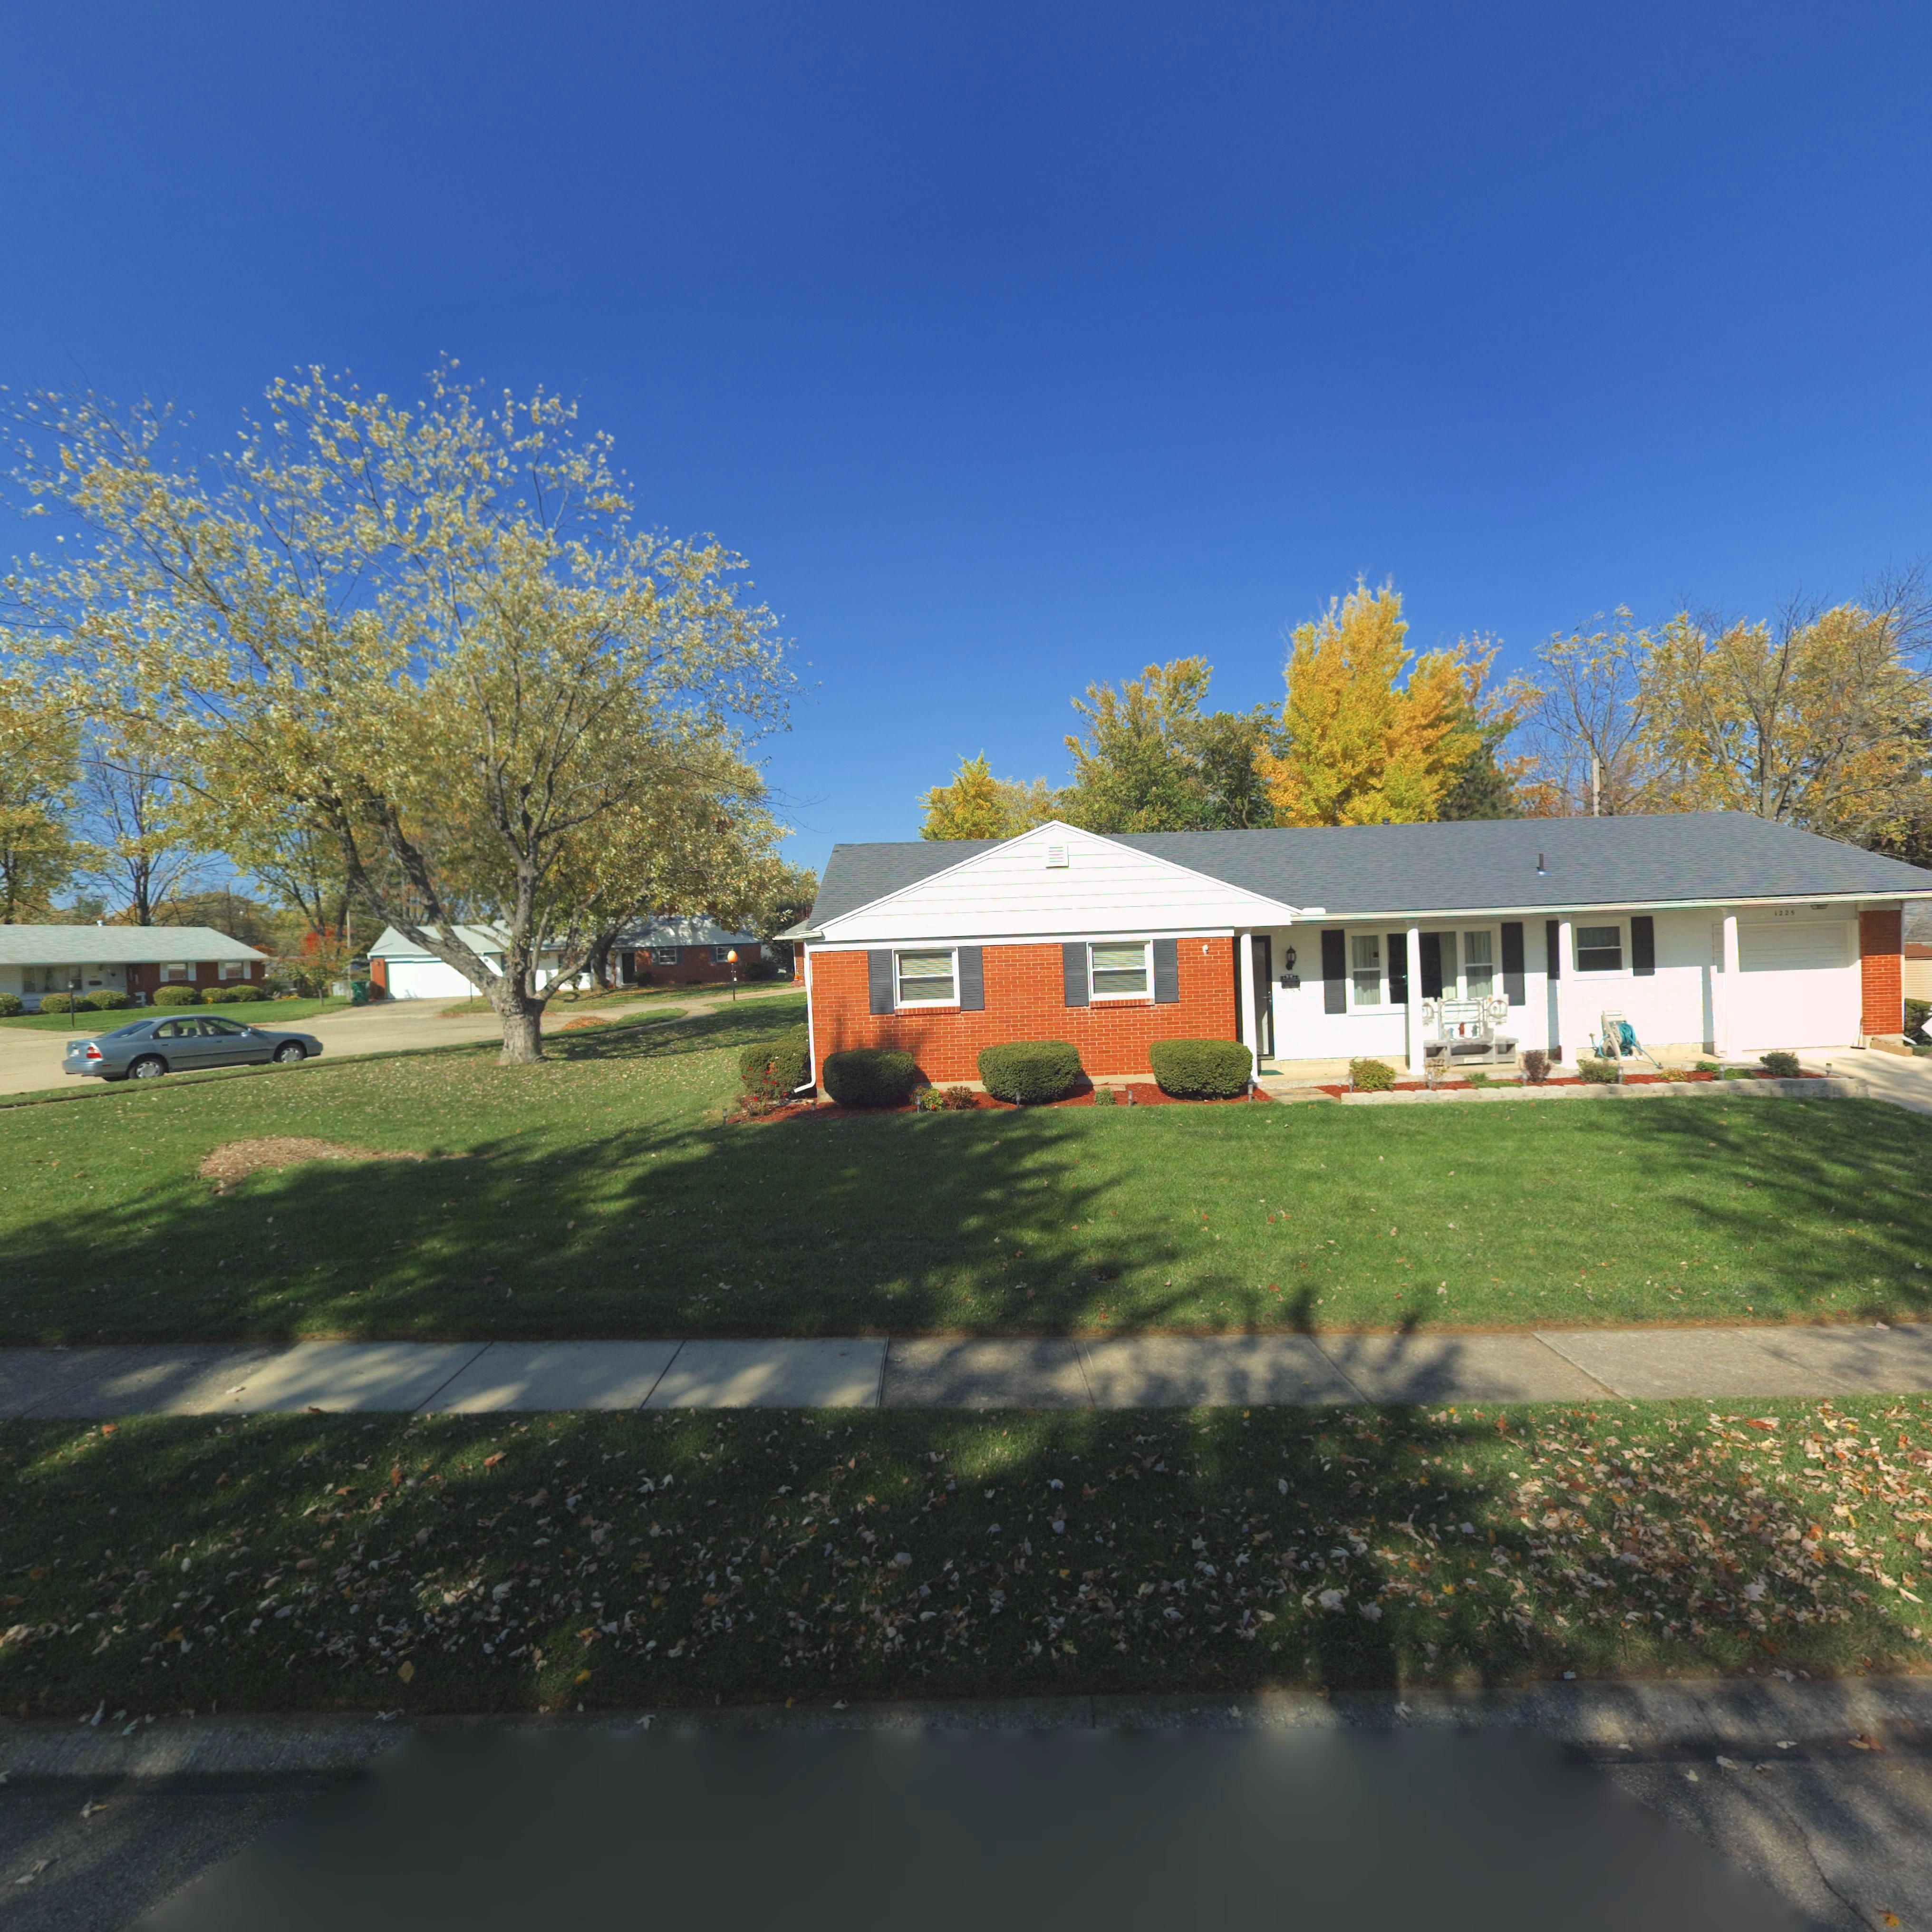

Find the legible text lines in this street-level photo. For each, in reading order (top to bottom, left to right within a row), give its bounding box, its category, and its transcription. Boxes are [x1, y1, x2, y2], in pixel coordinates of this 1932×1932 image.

[1774, 909, 1795, 917] StreetNumber: 1225